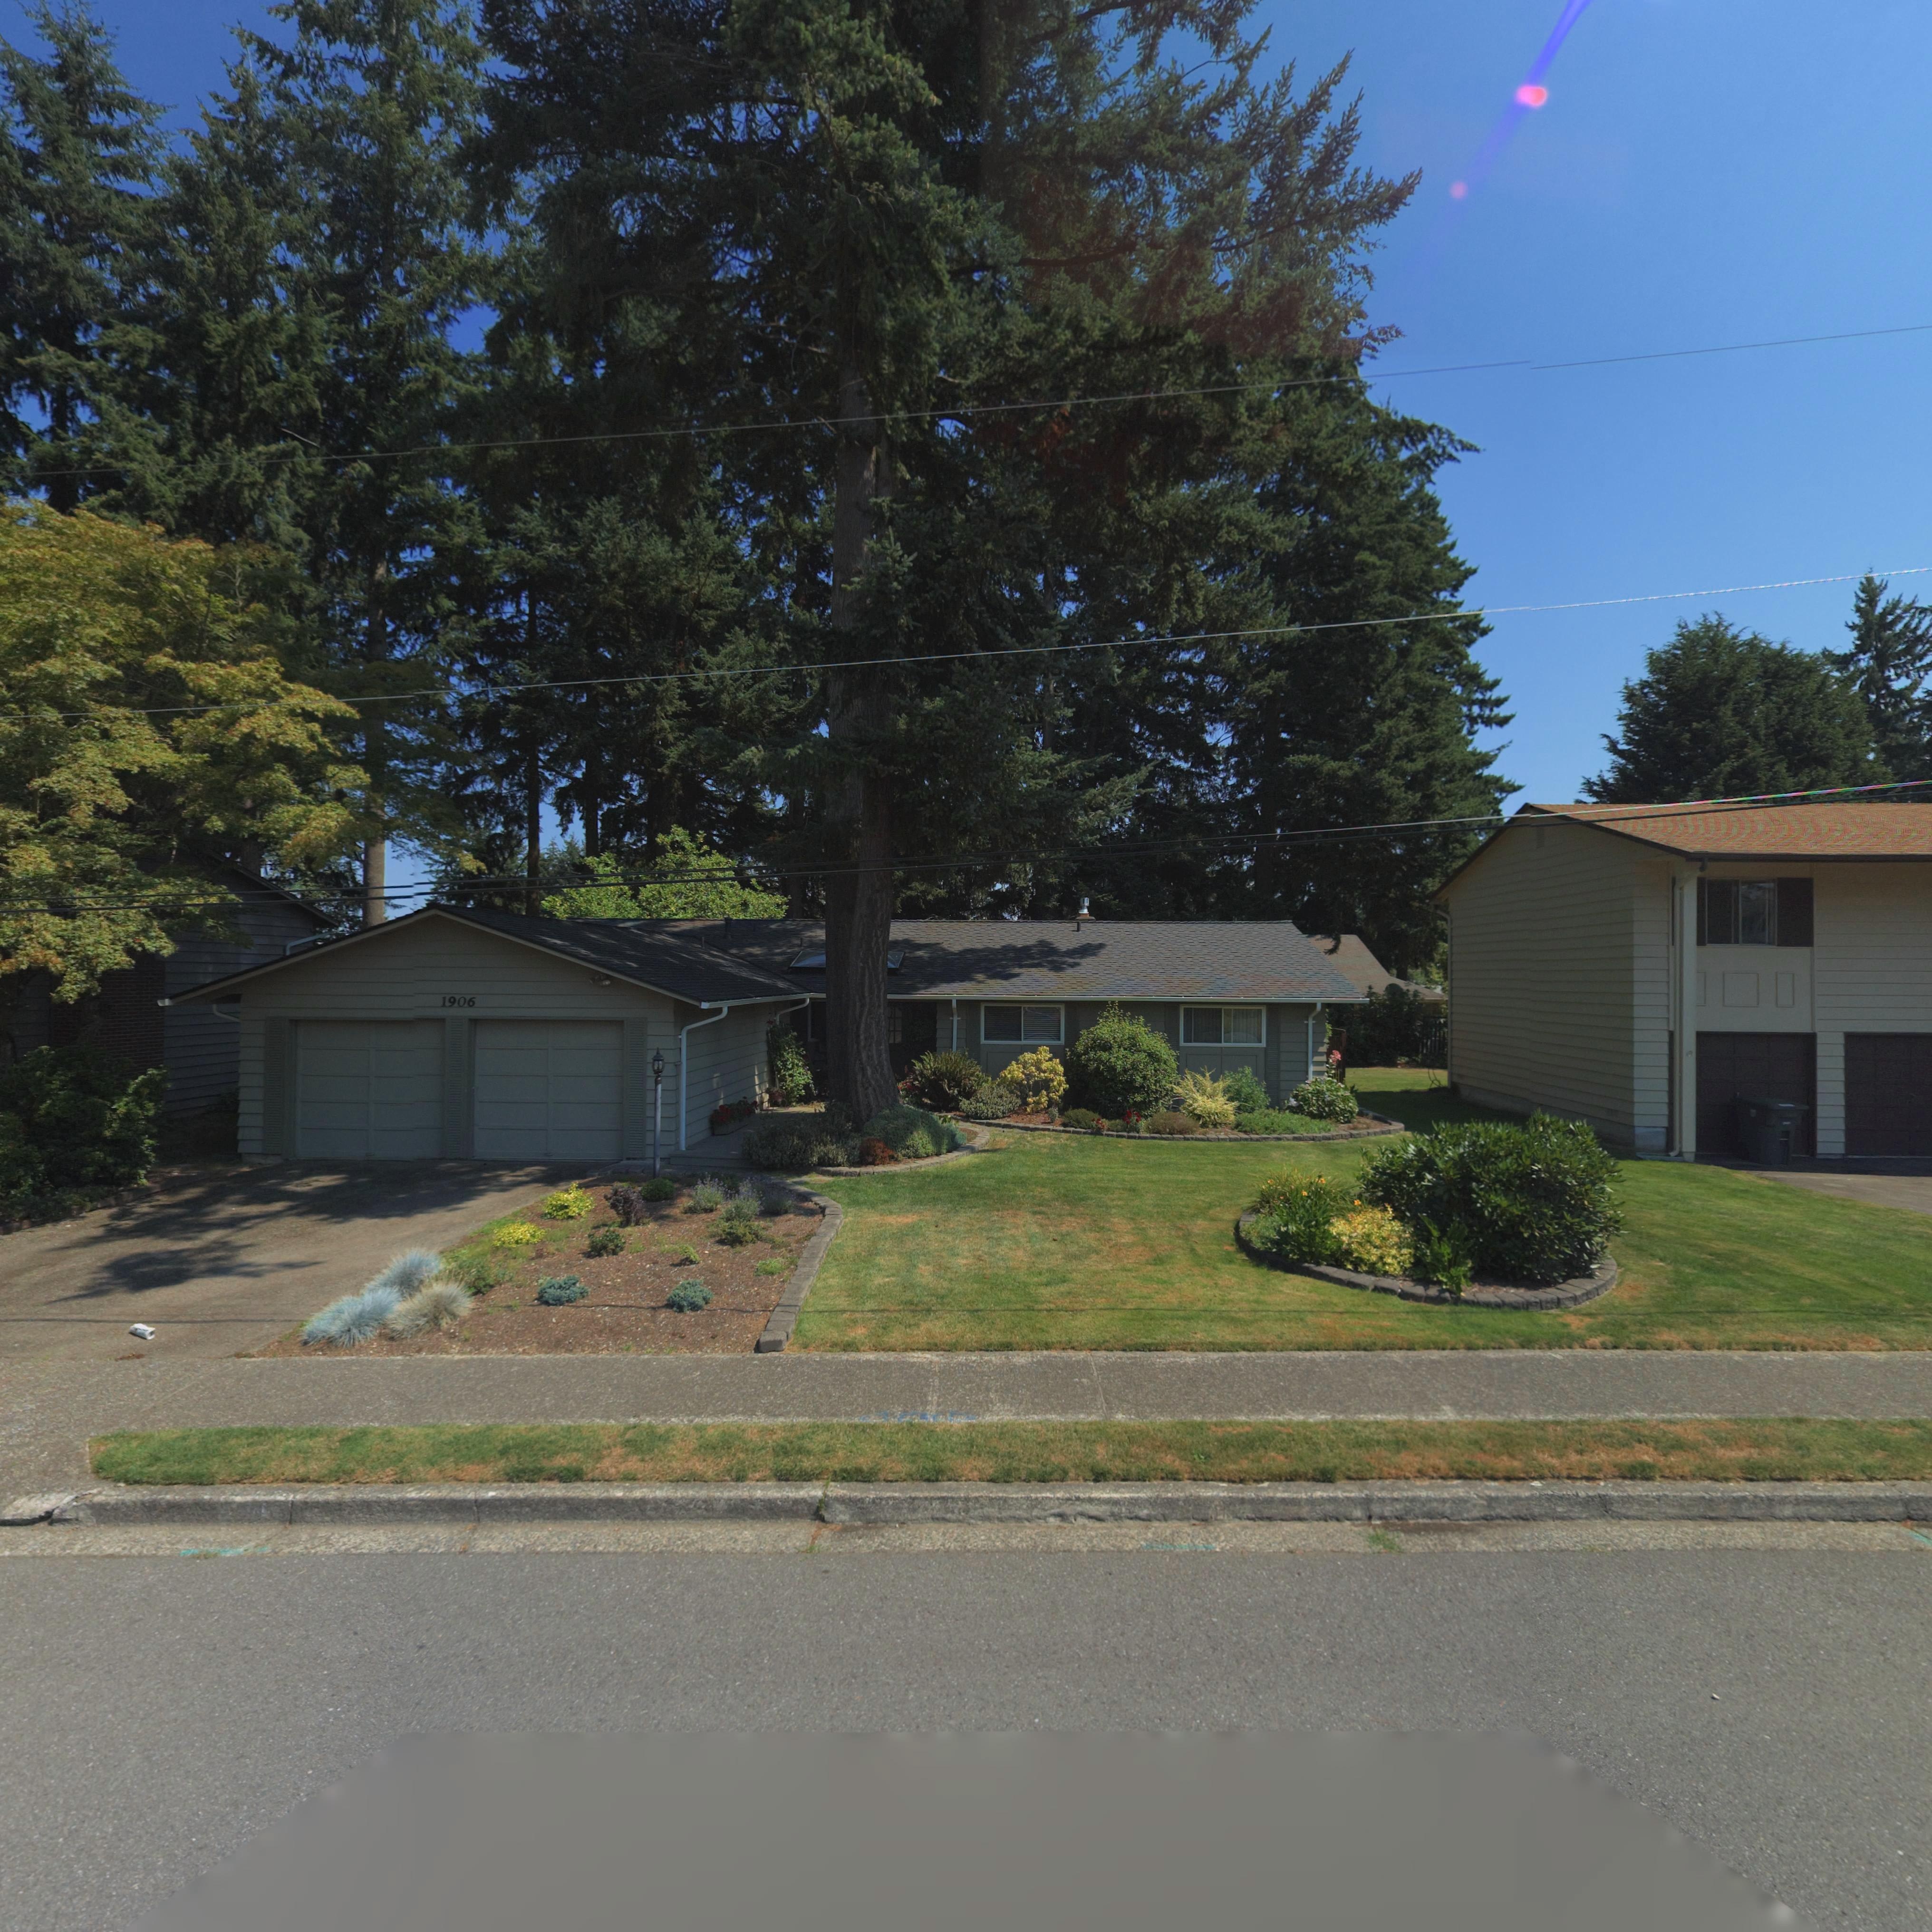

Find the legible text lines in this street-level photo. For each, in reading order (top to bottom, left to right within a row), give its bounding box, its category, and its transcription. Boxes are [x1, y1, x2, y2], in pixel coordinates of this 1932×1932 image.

[440, 995, 477, 1007] StreetNumber: 1906